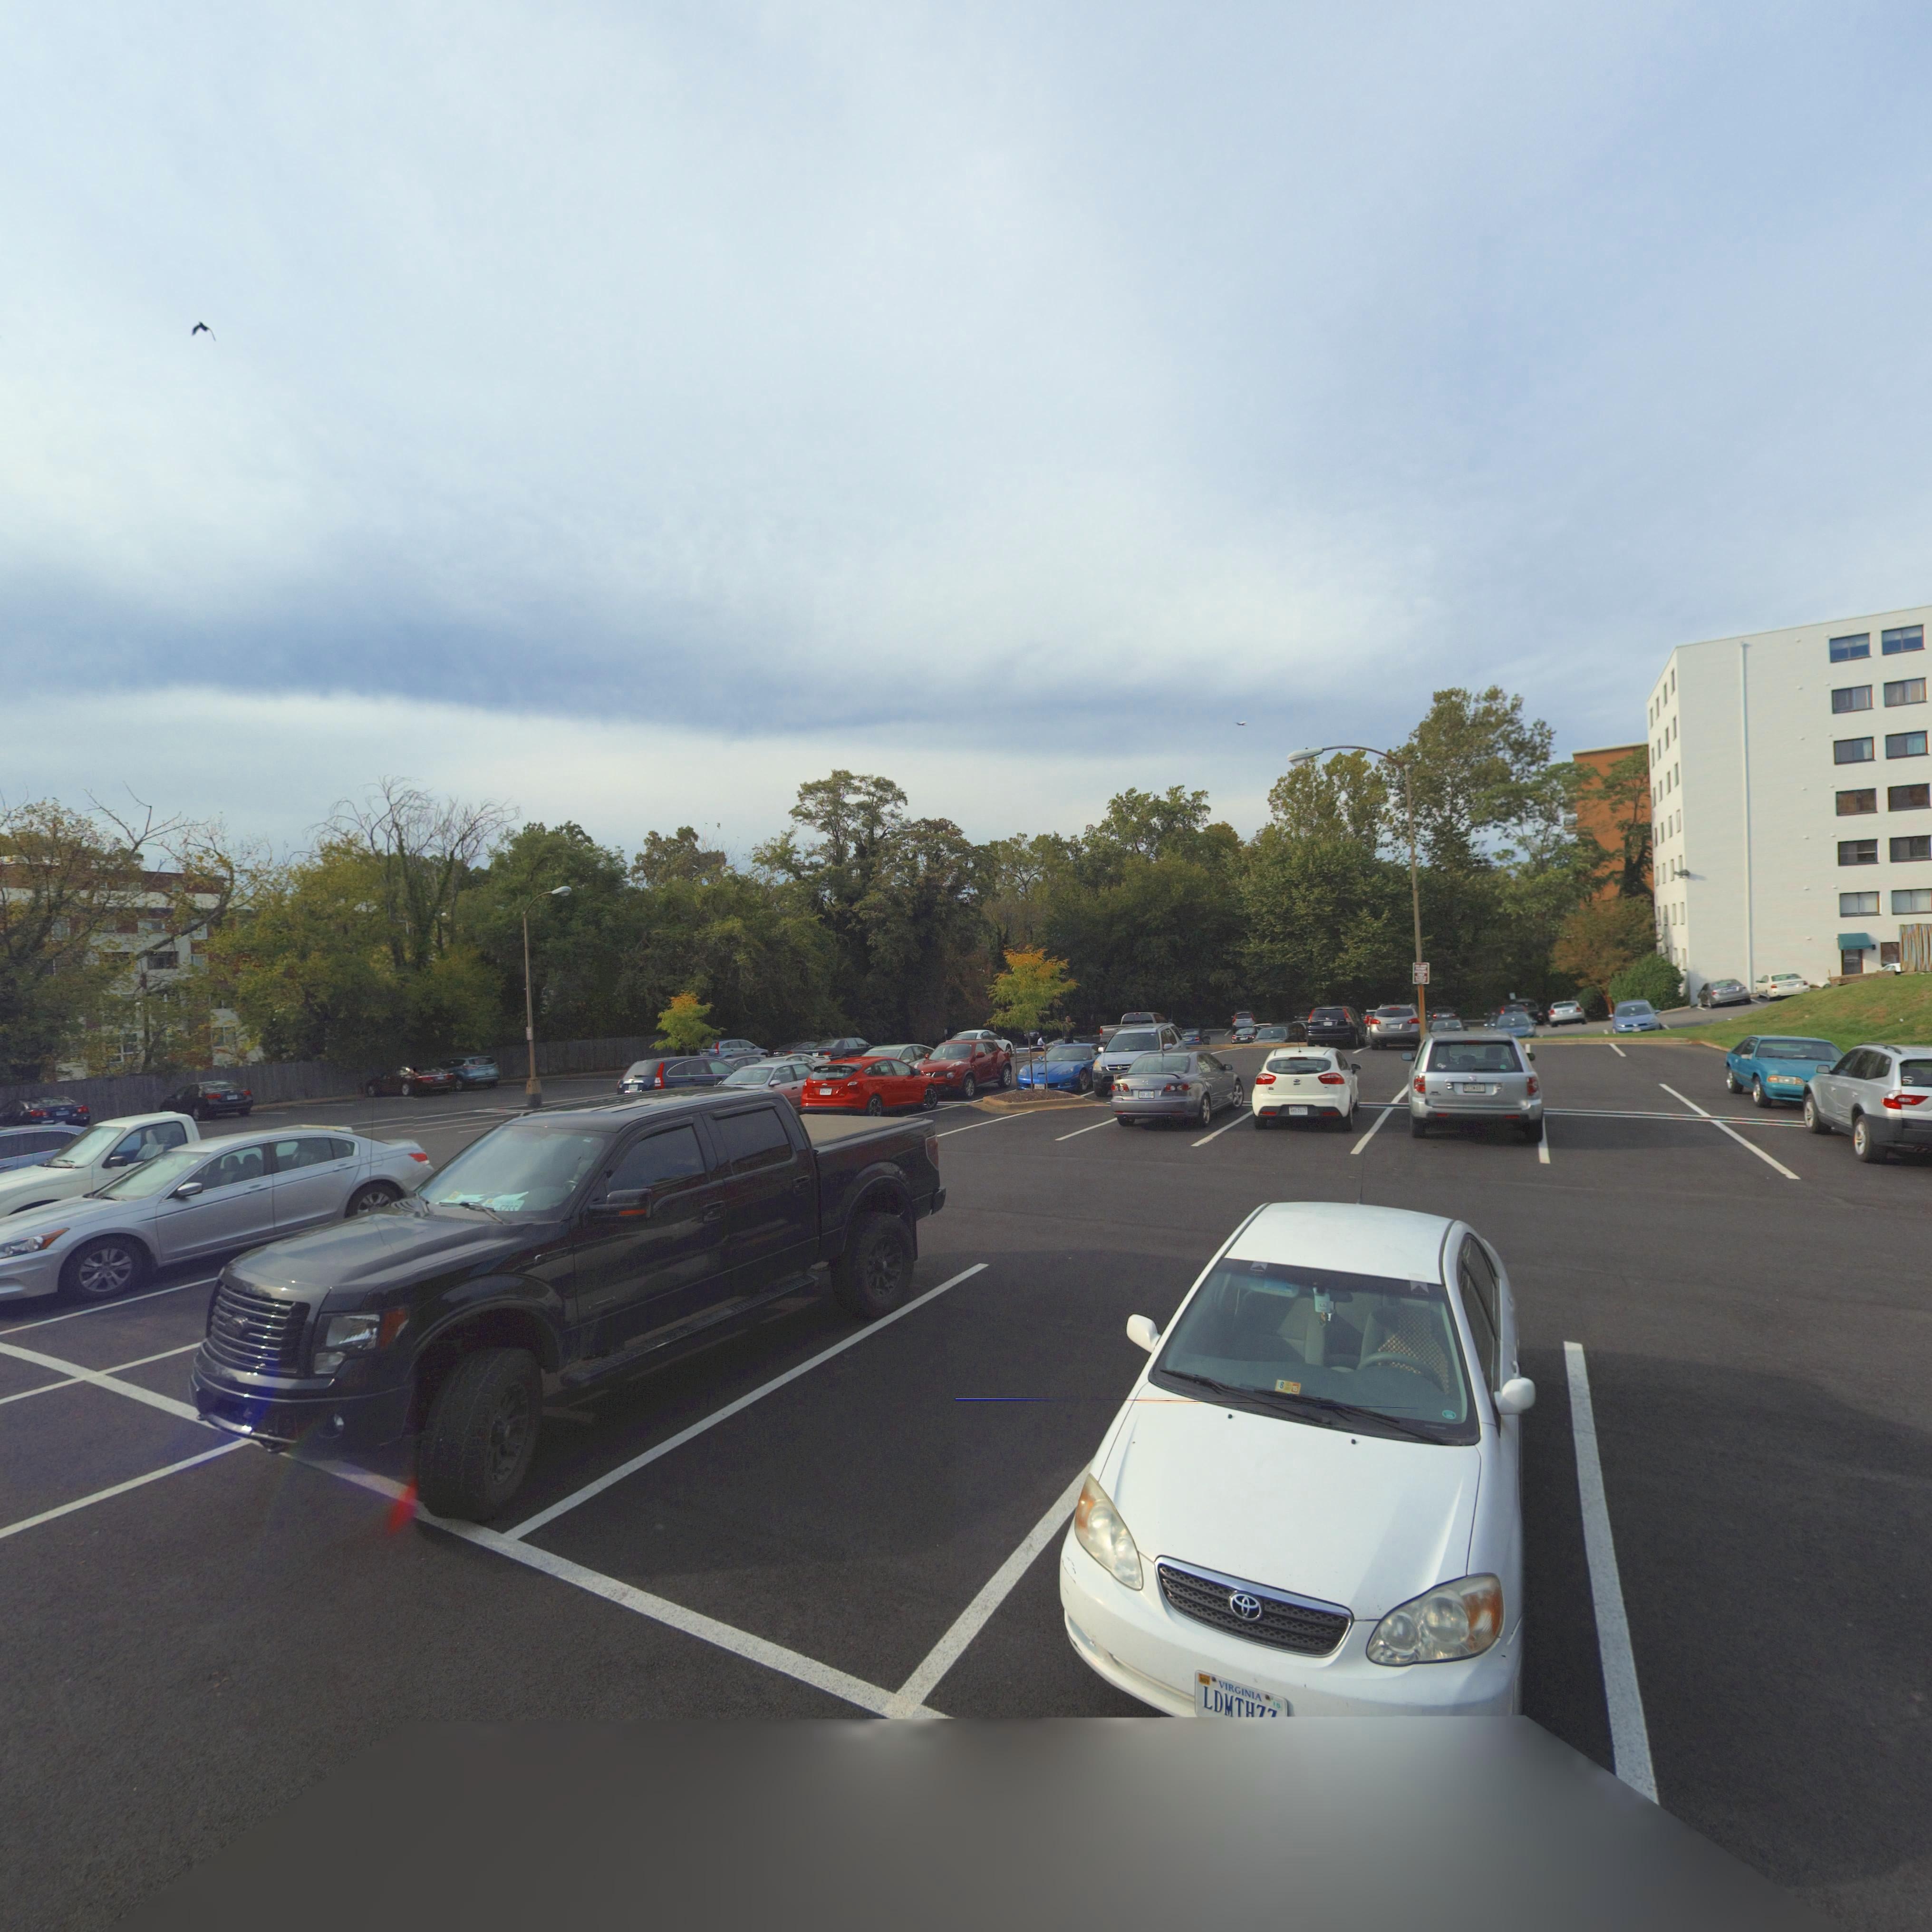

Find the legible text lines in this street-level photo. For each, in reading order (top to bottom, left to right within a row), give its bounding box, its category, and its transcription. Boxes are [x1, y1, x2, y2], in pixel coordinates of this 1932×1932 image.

[1464, 1086, 1484, 1091] None: 933*491
[1279, 1381, 1285, 1388] None: 8
[1292, 1385, 1298, 1392] None: 15
[1199, 1677, 1209, 1685] None: NOV
[1217, 1679, 1262, 1702] None: VIRGINIA
[1204, 1685, 1234, 1719] None: LDM
[1273, 1700, 1281, 1710] None: 15